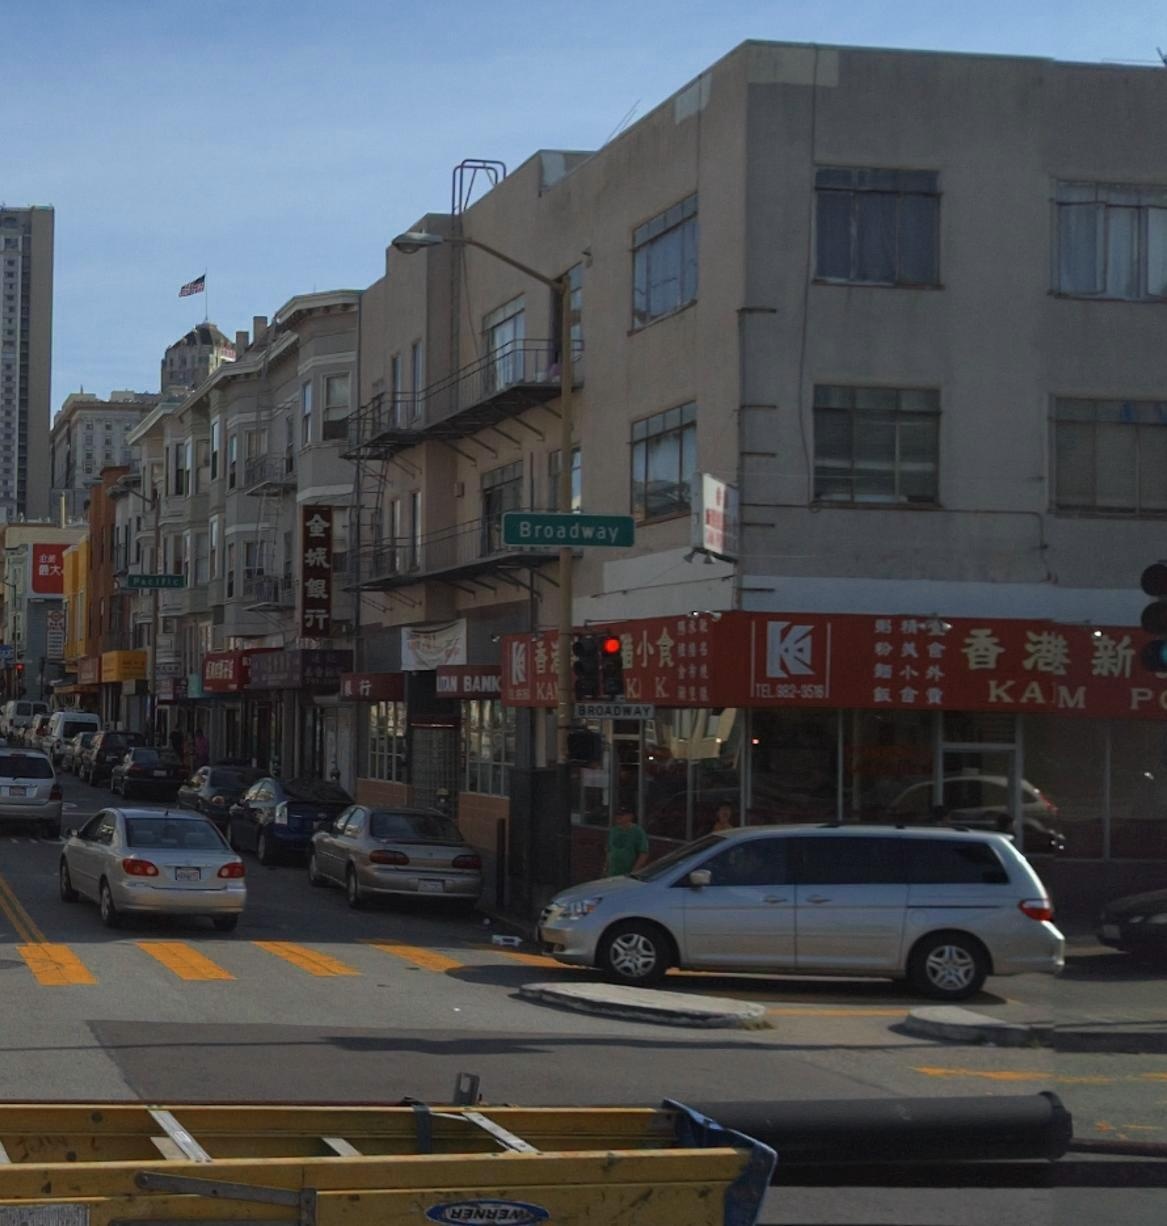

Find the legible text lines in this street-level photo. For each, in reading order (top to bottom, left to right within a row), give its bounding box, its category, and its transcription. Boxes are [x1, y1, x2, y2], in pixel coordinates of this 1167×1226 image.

[516, 519, 622, 546] StreetName: Broadway
[131, 575, 180, 587] StreetName: Pacific
[447, 672, 504, 694] BusinessName: N BANK
[532, 680, 558, 703] None: KA
[576, 703, 654, 718] StreetName: BROADWAY
[623, 675, 641, 701] None: K
[652, 674, 670, 701] None: K
[752, 679, 825, 700] None: TEL 982-3516
[985, 677, 1091, 711] BusinessName: KAM
[1126, 685, 1156, 713] BusinessName: P